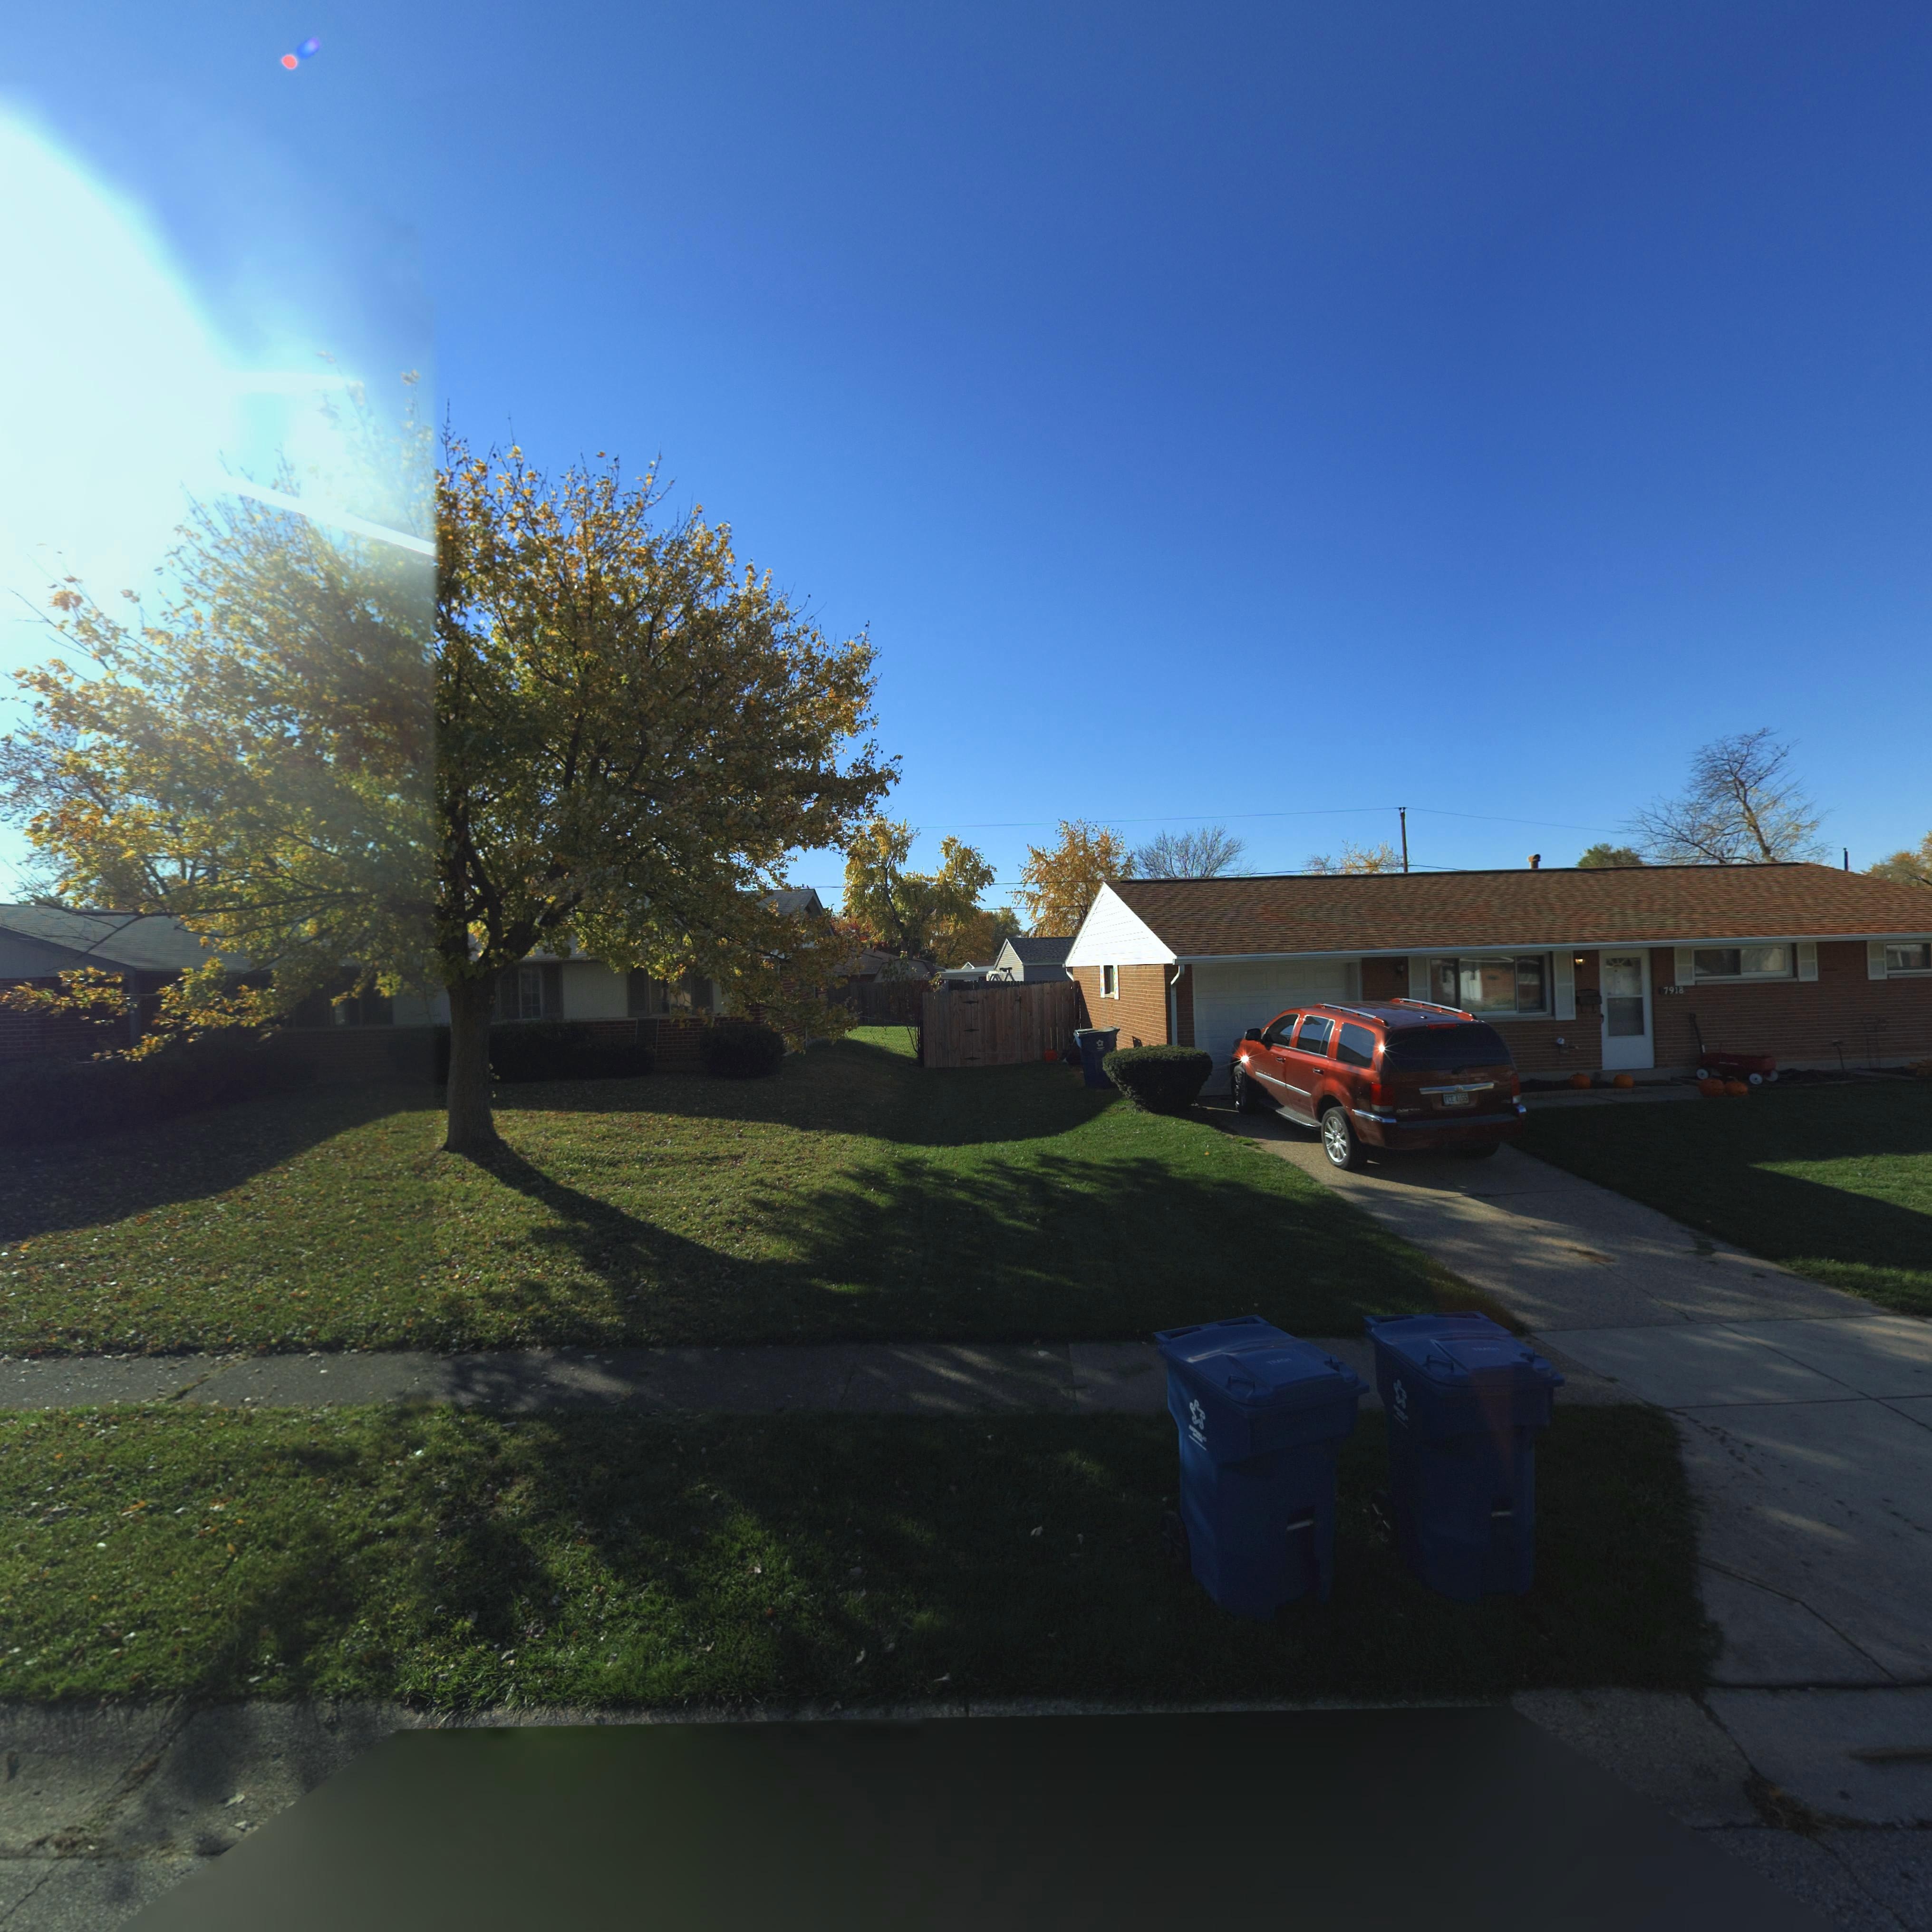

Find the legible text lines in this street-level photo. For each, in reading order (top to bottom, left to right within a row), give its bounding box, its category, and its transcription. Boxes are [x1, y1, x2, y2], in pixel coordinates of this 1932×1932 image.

[1662, 985, 1685, 995] StreetNumber: 7918